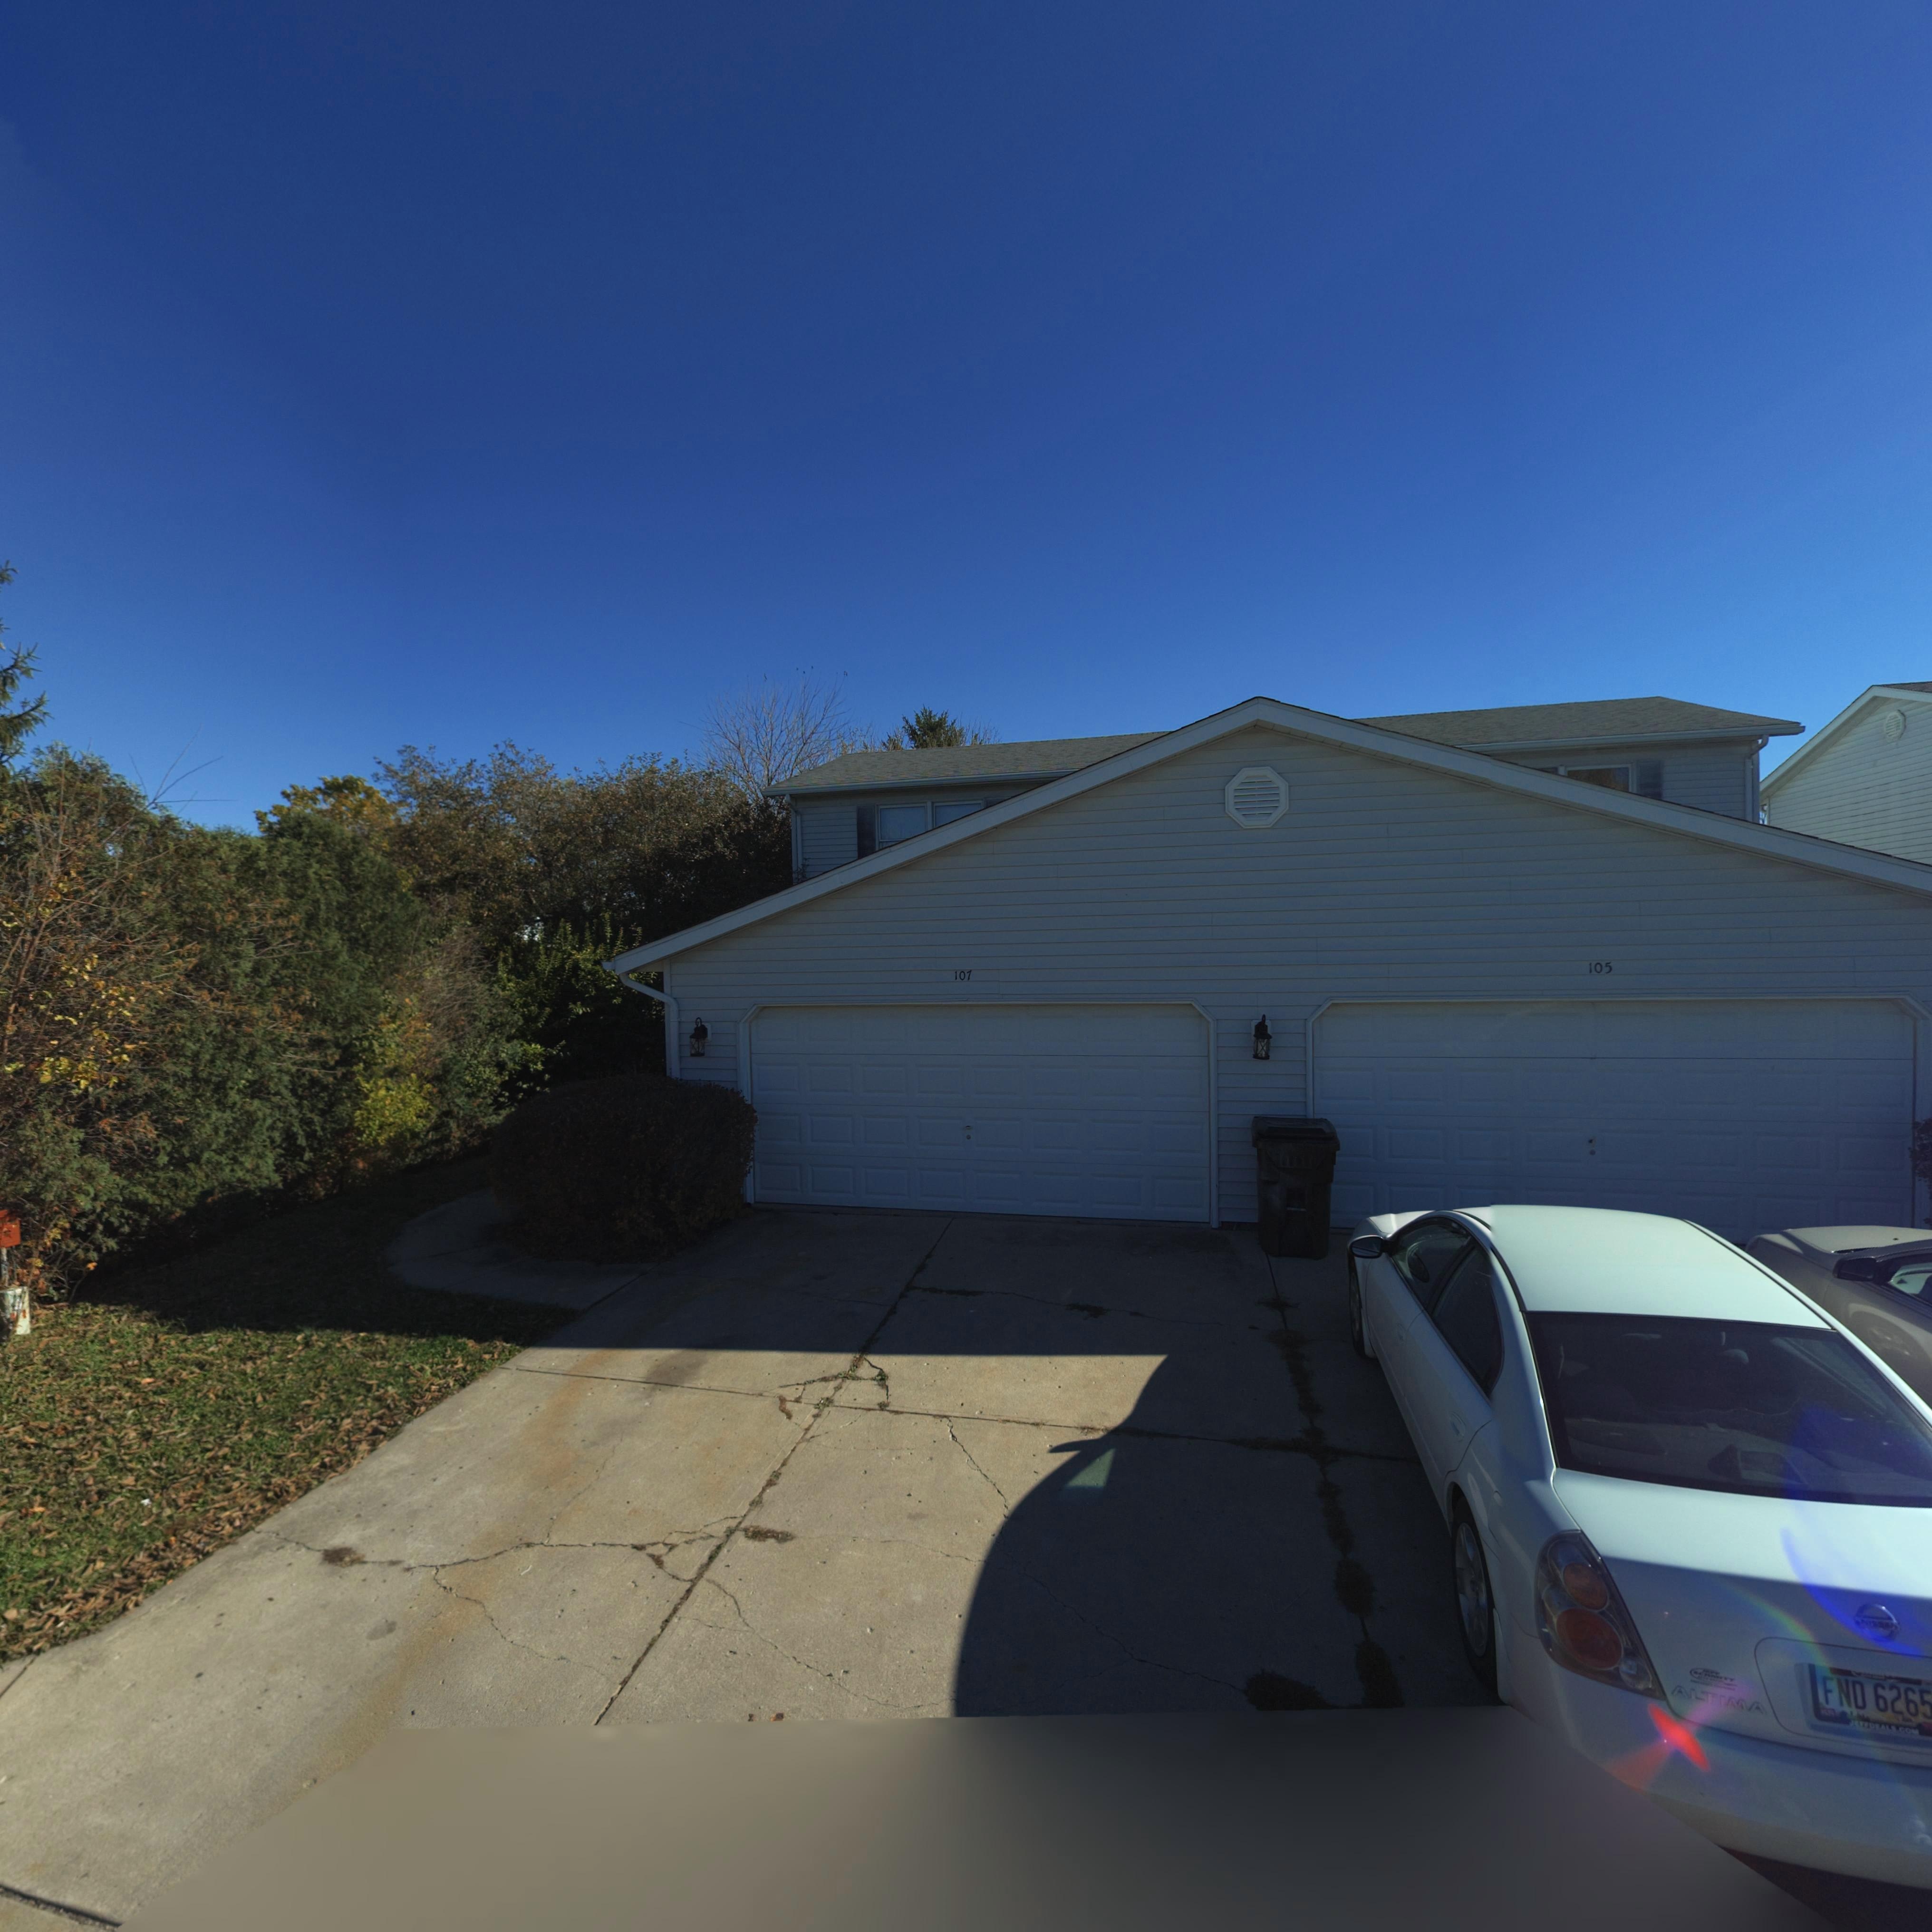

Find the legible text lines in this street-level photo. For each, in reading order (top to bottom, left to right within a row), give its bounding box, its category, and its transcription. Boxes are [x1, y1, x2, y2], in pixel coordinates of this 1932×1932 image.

[1586, 960, 1614, 974] StreetNumber: 105
[953, 969, 973, 981] StreetNumber: 107